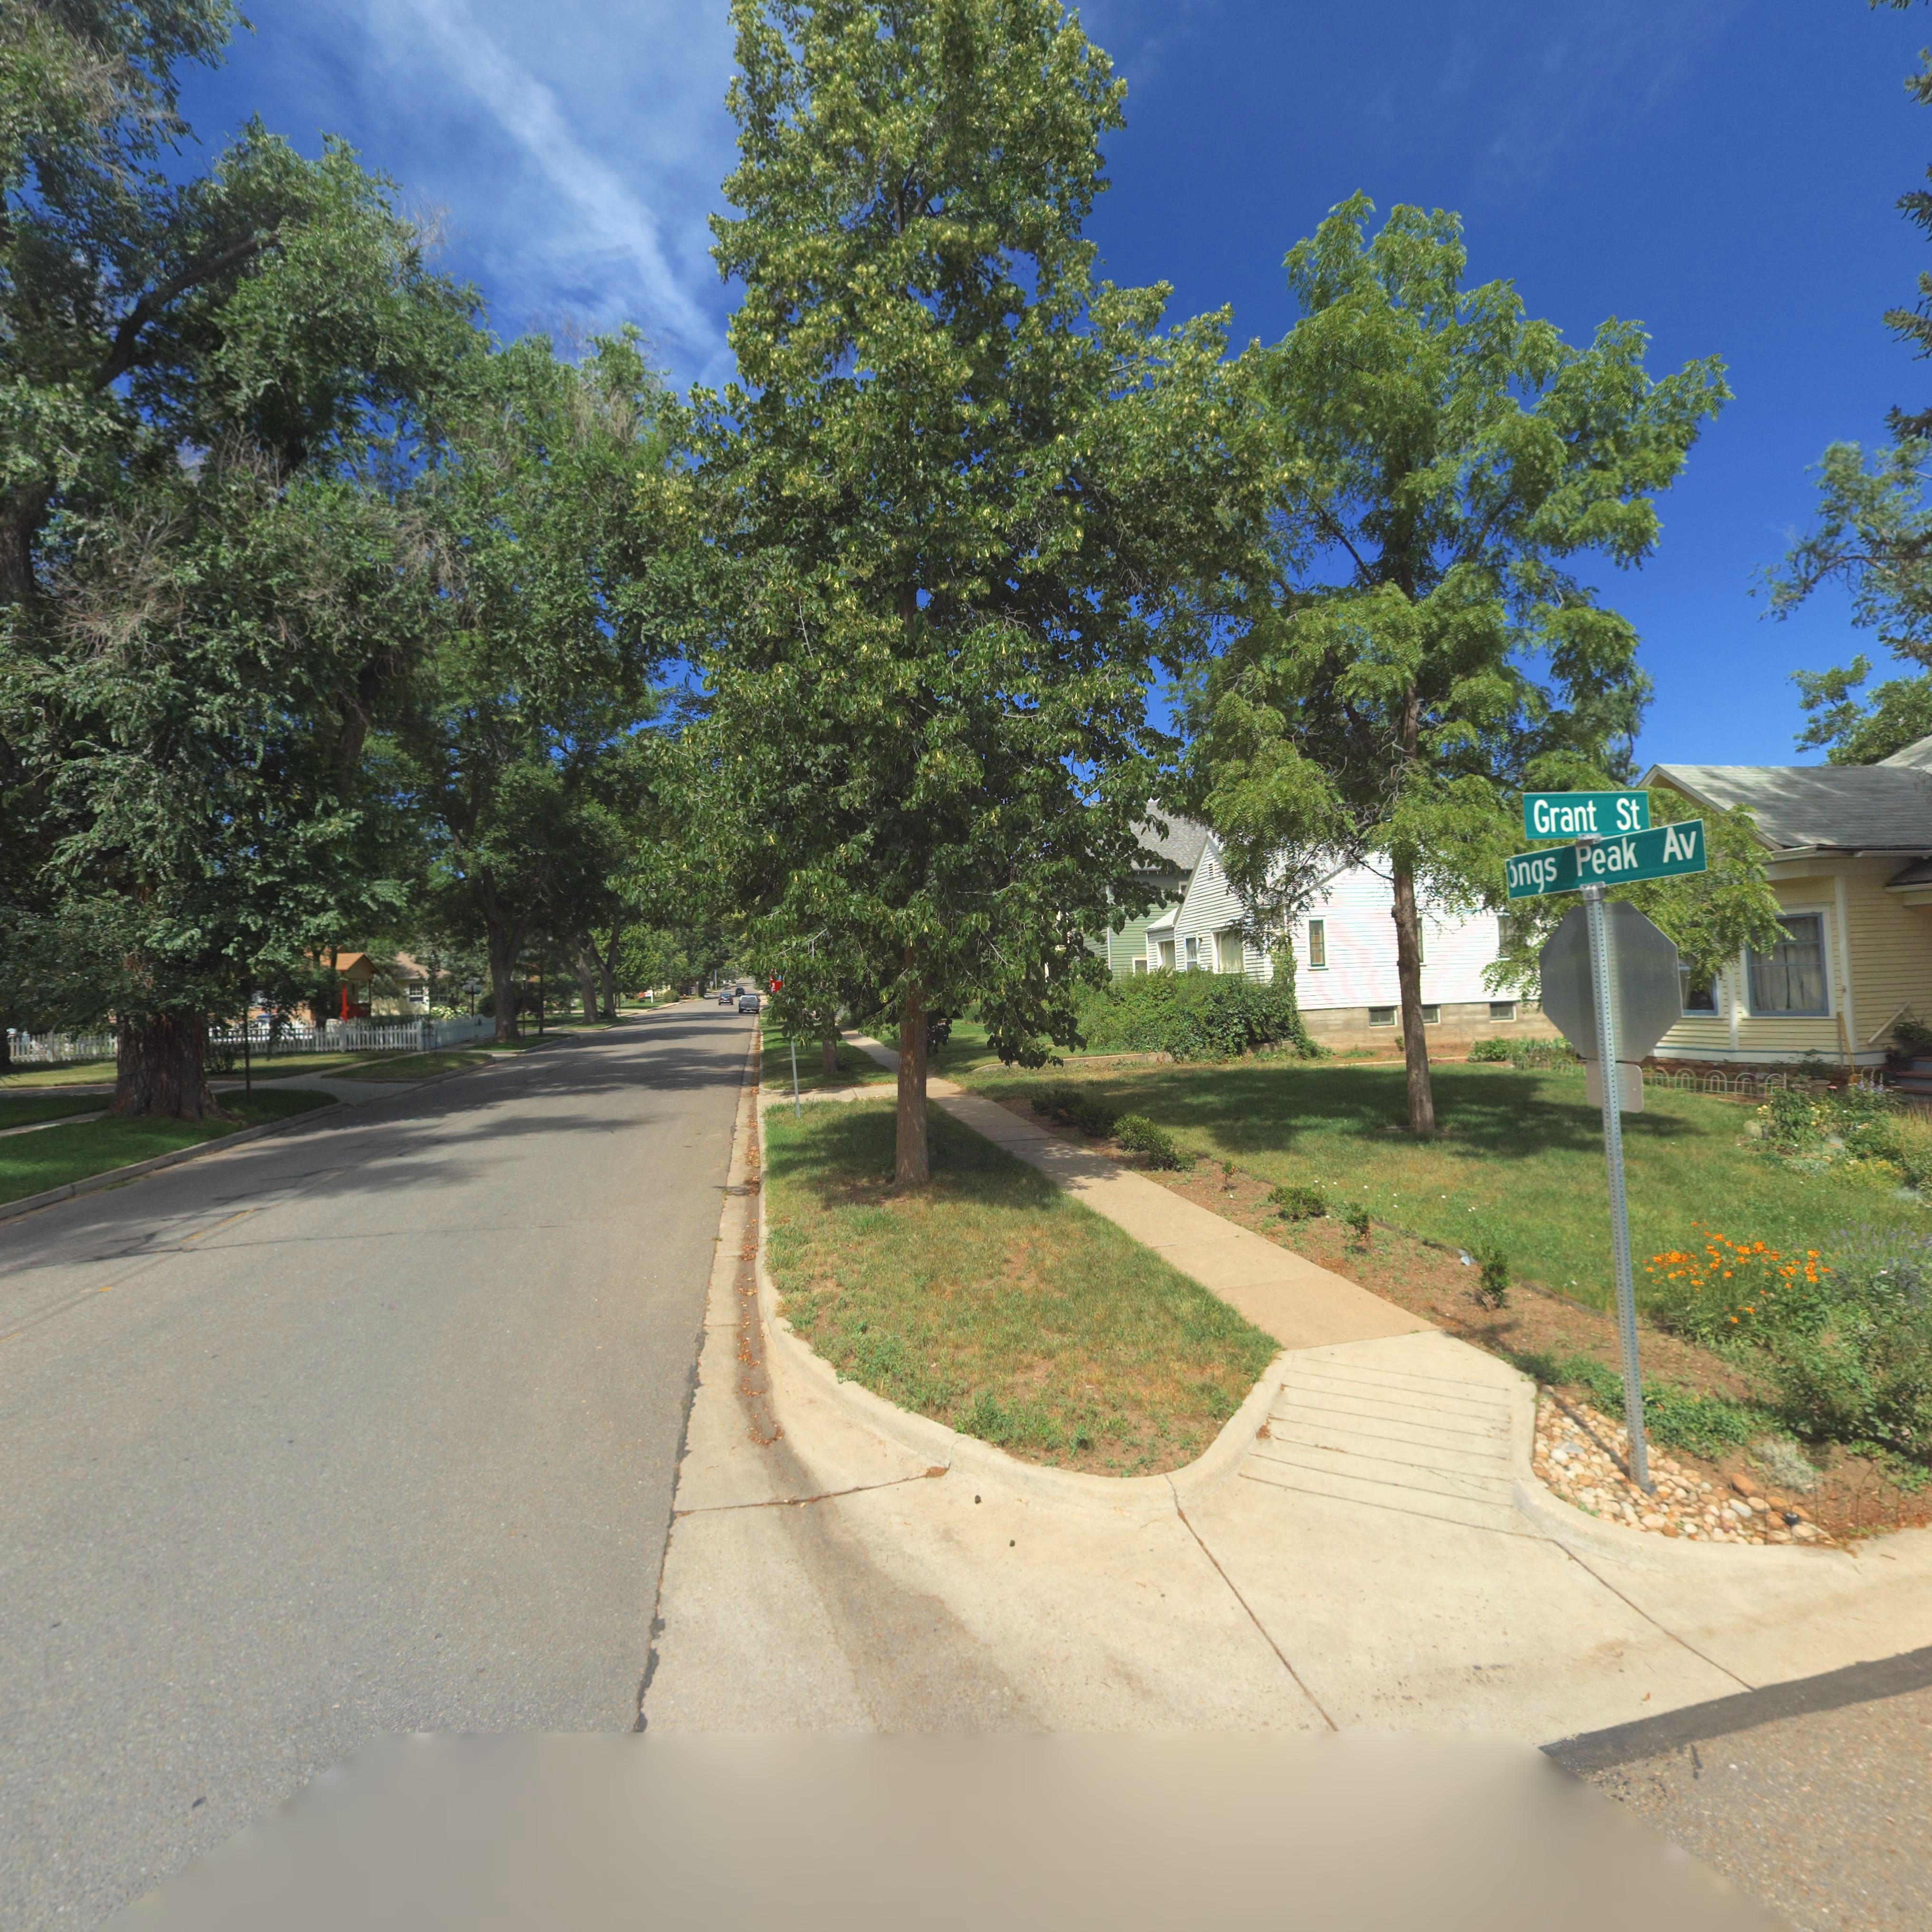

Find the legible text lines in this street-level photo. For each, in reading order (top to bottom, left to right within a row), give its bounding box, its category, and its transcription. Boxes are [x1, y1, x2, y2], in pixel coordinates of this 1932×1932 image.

[1532, 797, 1642, 833] StreetName: Grant St
[1506, 826, 1700, 894] StreetName: *ngs Peak Av